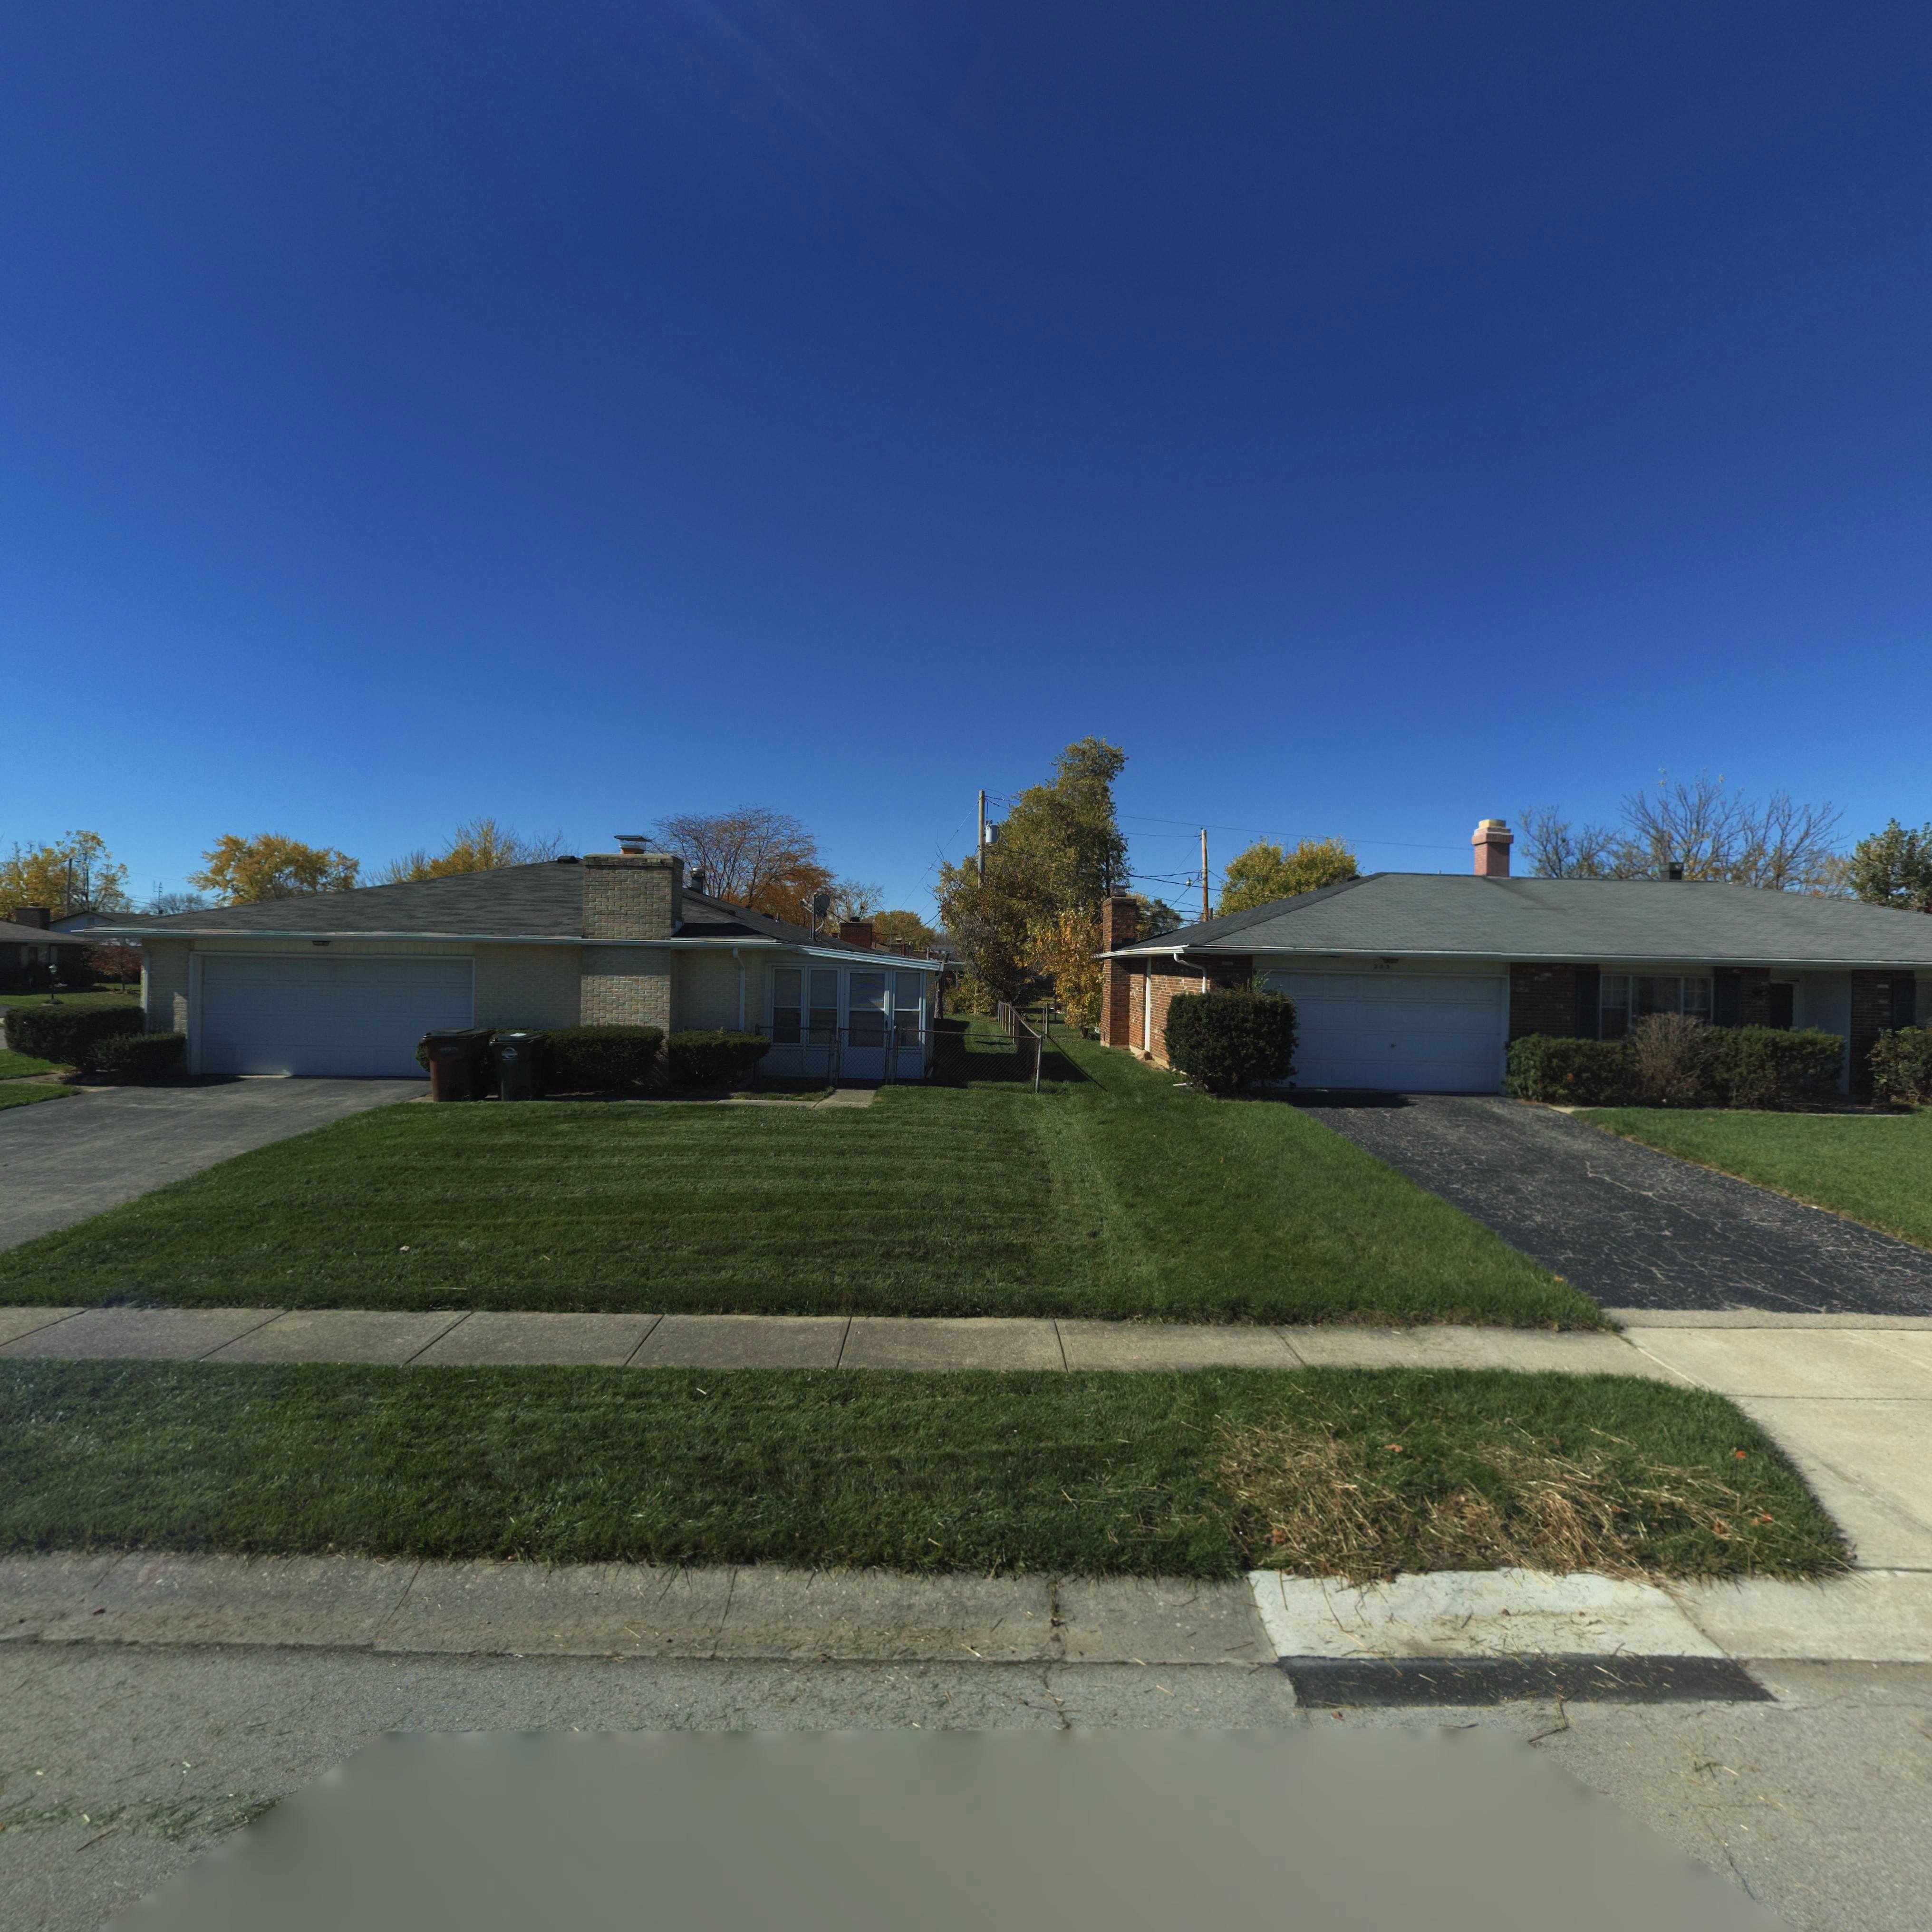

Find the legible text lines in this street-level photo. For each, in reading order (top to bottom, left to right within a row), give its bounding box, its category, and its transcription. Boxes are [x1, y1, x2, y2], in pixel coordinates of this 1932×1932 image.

[1372, 964, 1390, 969] StreetNumber: 203